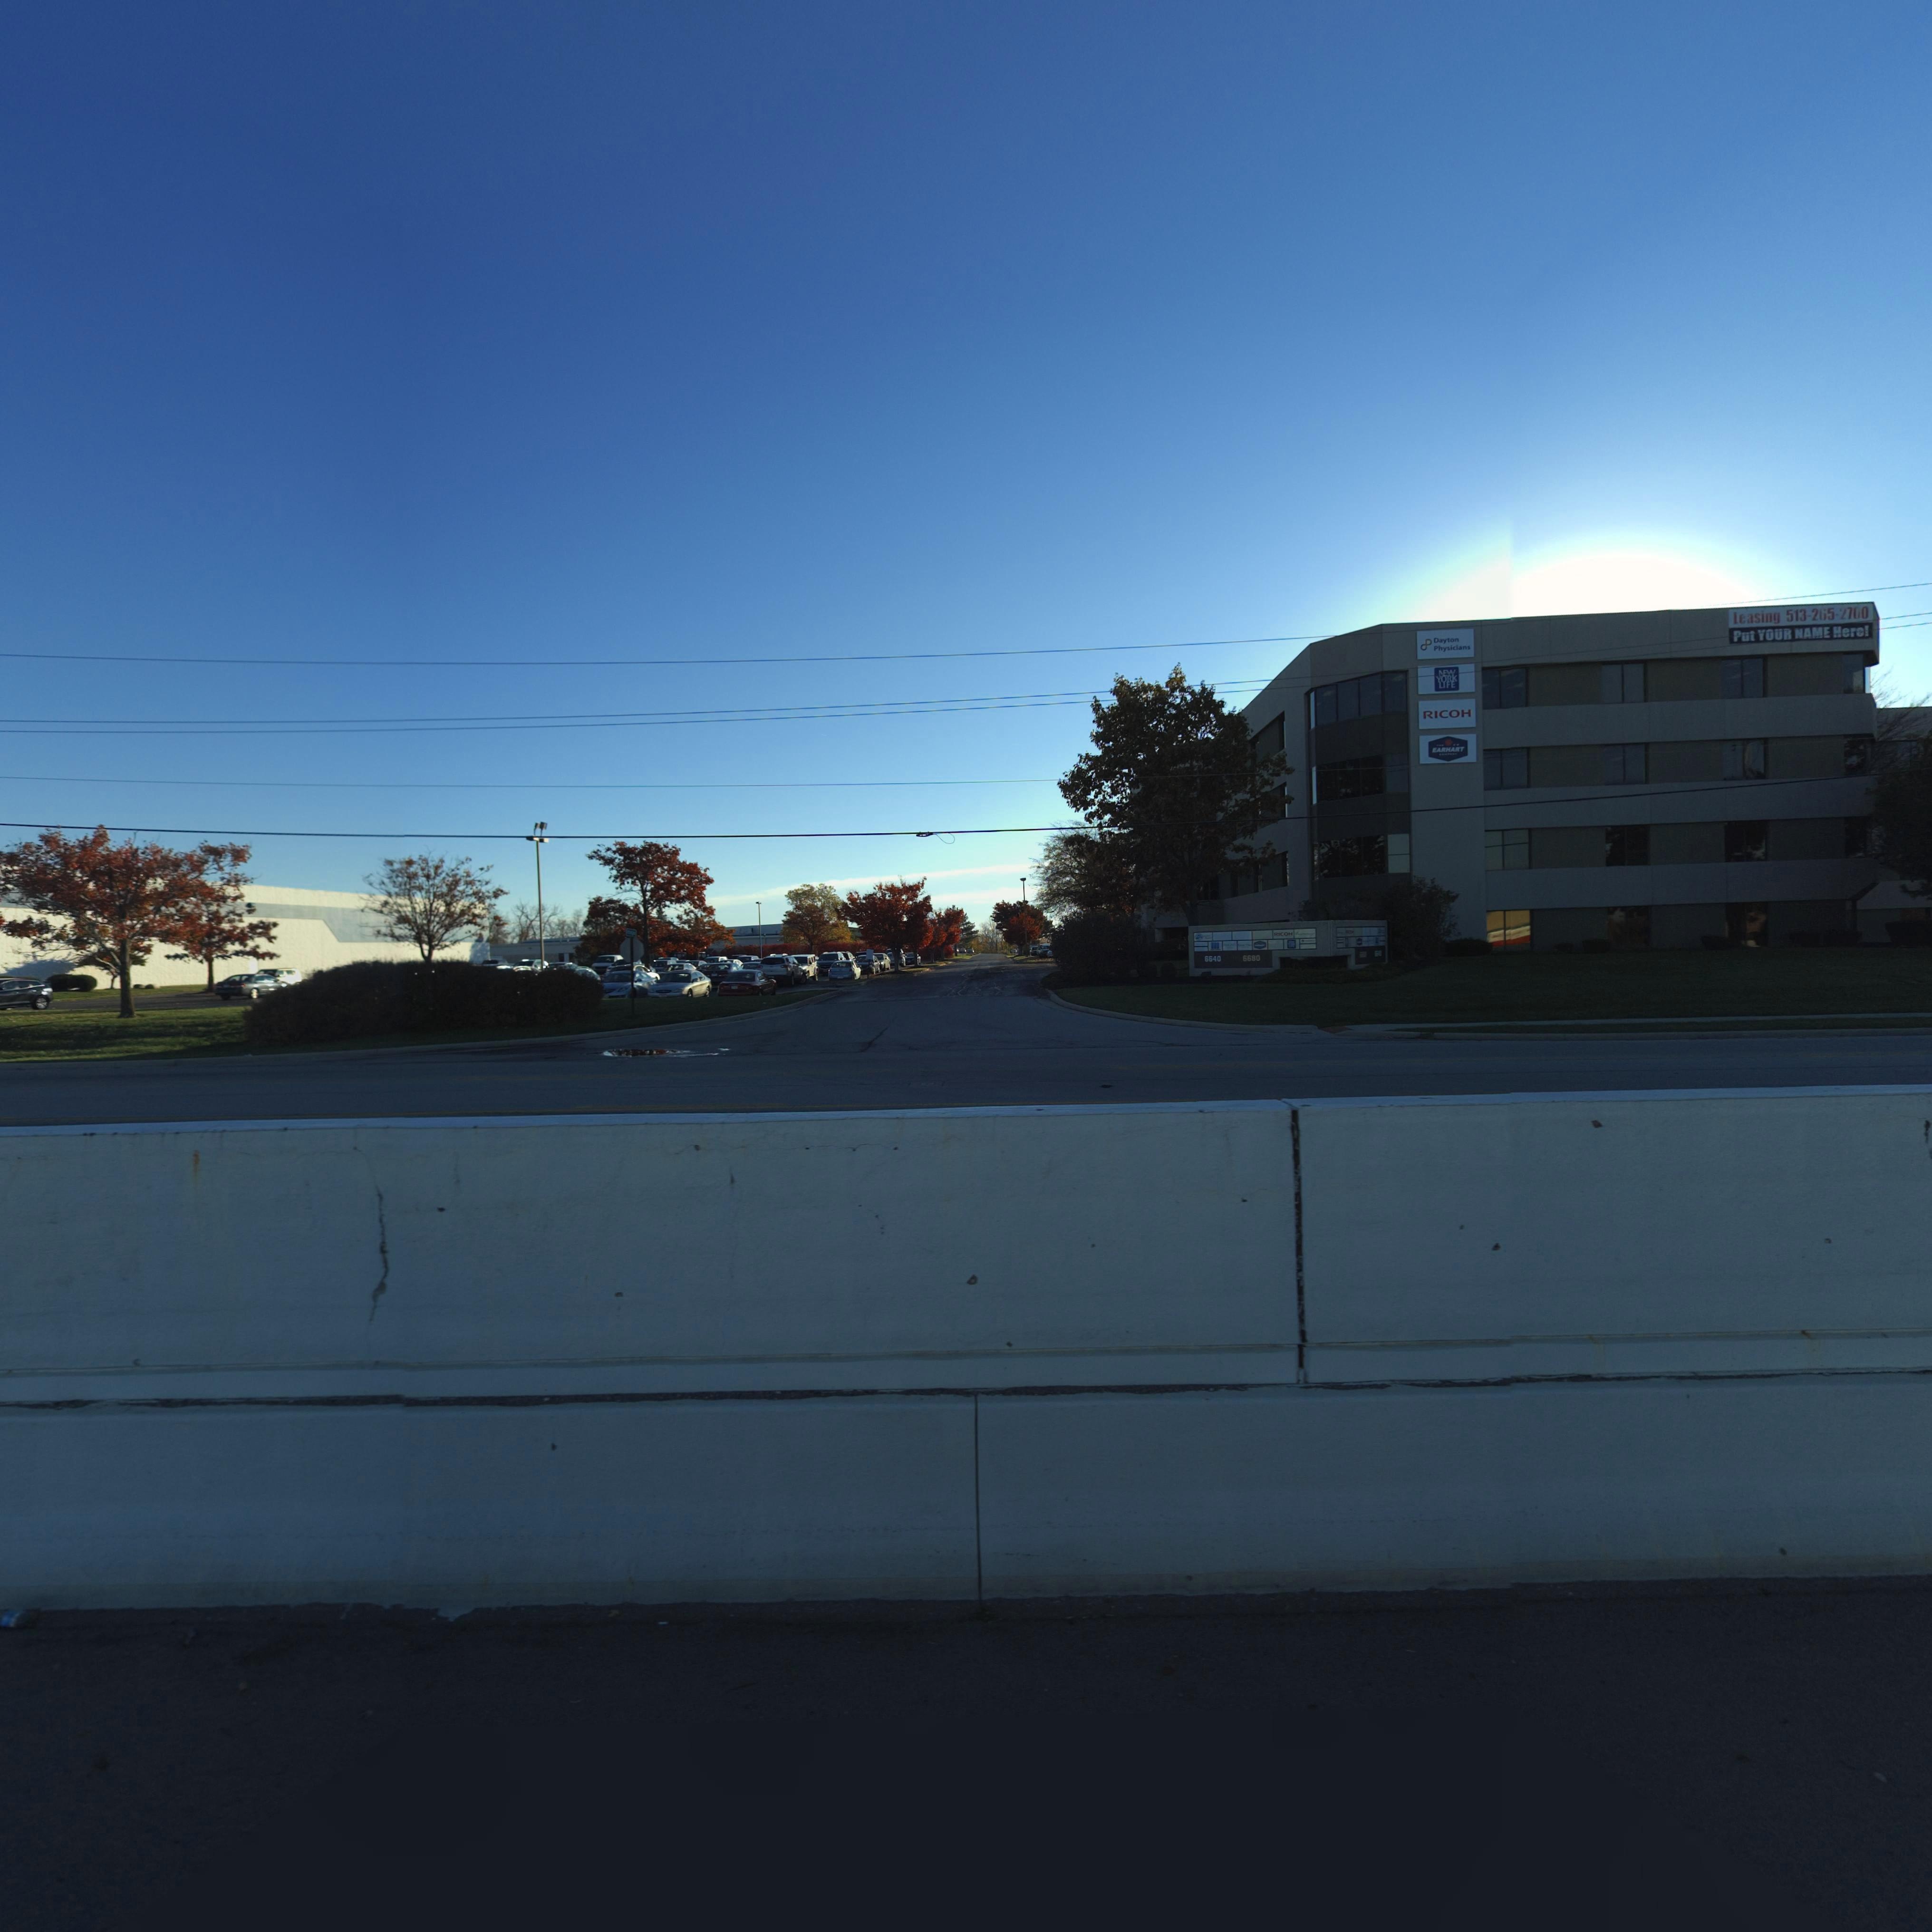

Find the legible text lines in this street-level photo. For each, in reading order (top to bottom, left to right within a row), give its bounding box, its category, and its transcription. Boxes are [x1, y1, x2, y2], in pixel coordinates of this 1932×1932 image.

[1731, 604, 1869, 626] None: Leasing 513-265-2700
[1731, 625, 1871, 642] None: Put YOUR NAME Here
[1433, 637, 1459, 644] None: Dayton
[1432, 644, 1471, 652] None: Physicians
[1437, 668, 1455, 676] None: NEW
[1435, 675, 1459, 683] None: YORK
[1437, 681, 1457, 689] None: LIFE
[1422, 708, 1471, 720] None: RICOH
[1431, 745, 1464, 753] None: EARHART
[1274, 931, 1292, 937] None: RICOH
[1203, 955, 1222, 963] StreetNumber: 6640
[1242, 954, 1262, 963] StreetNumber: 6680